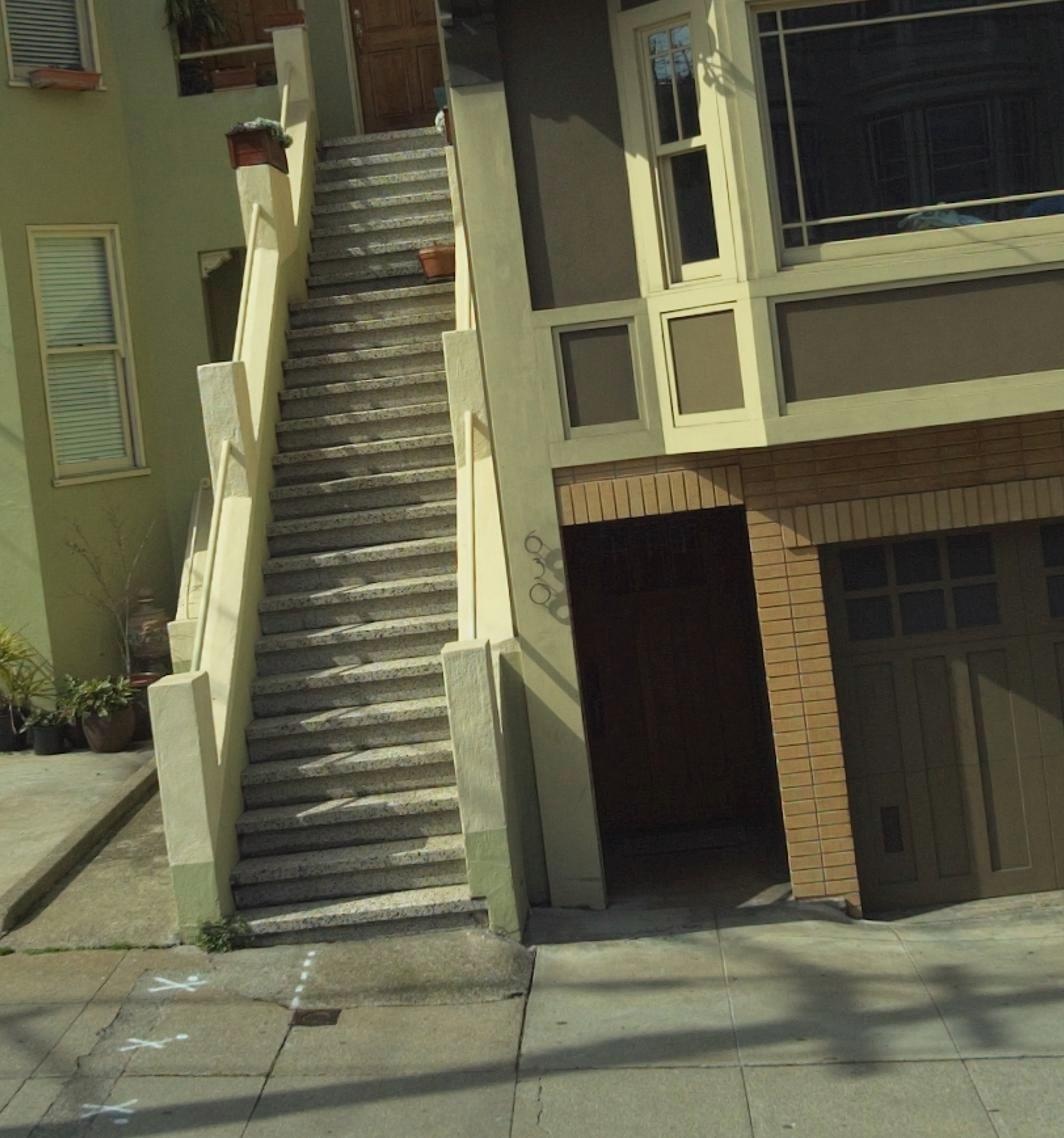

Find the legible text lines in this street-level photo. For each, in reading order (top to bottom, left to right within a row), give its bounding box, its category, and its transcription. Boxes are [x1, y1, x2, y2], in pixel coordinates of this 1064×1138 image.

[519, 525, 555, 610] StreetNumber: 630
[144, 973, 211, 994] None: X
[113, 1032, 199, 1055] None: X
[77, 1095, 143, 1121] None: X